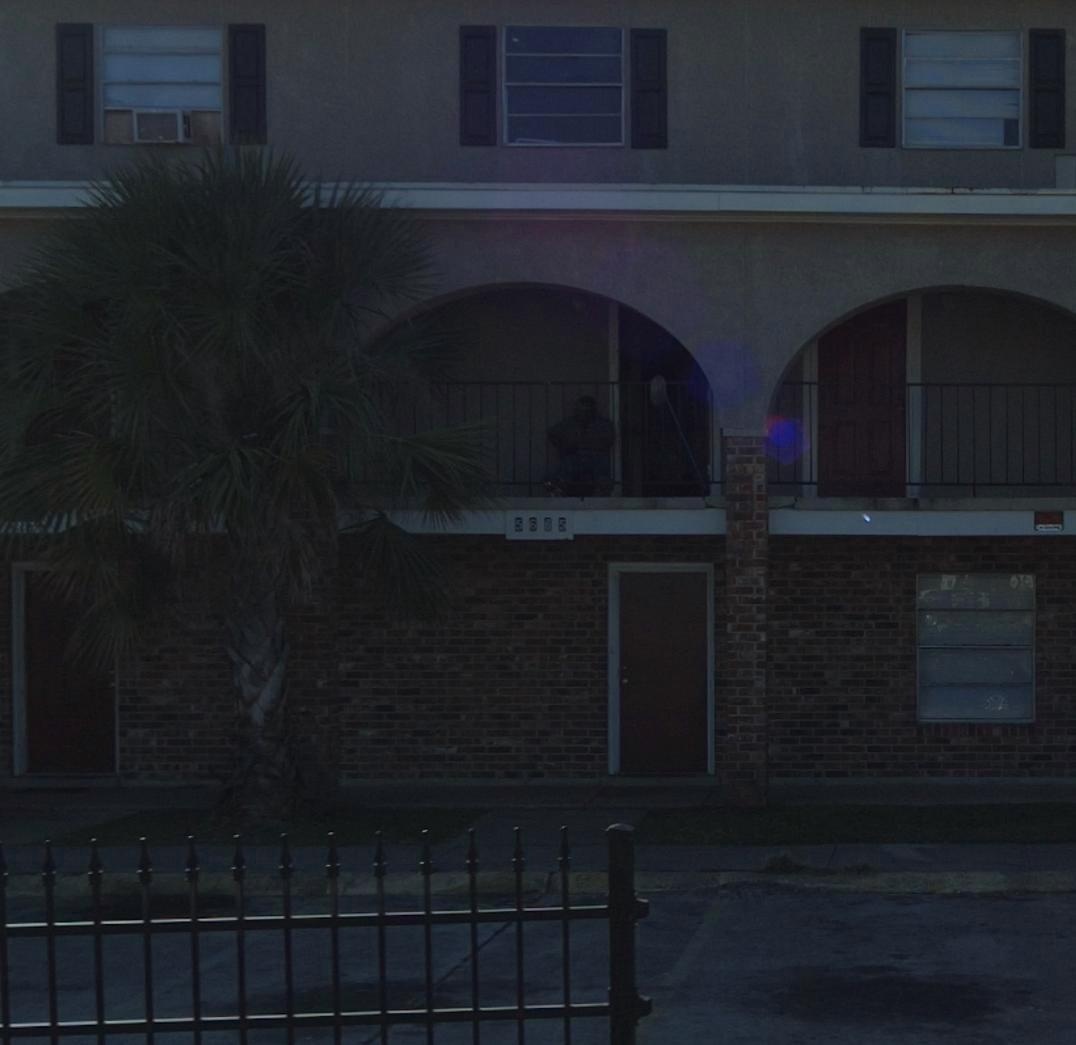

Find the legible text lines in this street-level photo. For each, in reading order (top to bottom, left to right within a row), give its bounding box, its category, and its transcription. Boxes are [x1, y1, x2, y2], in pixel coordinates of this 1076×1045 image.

[514, 517, 567, 531] StreetNumber: 5665